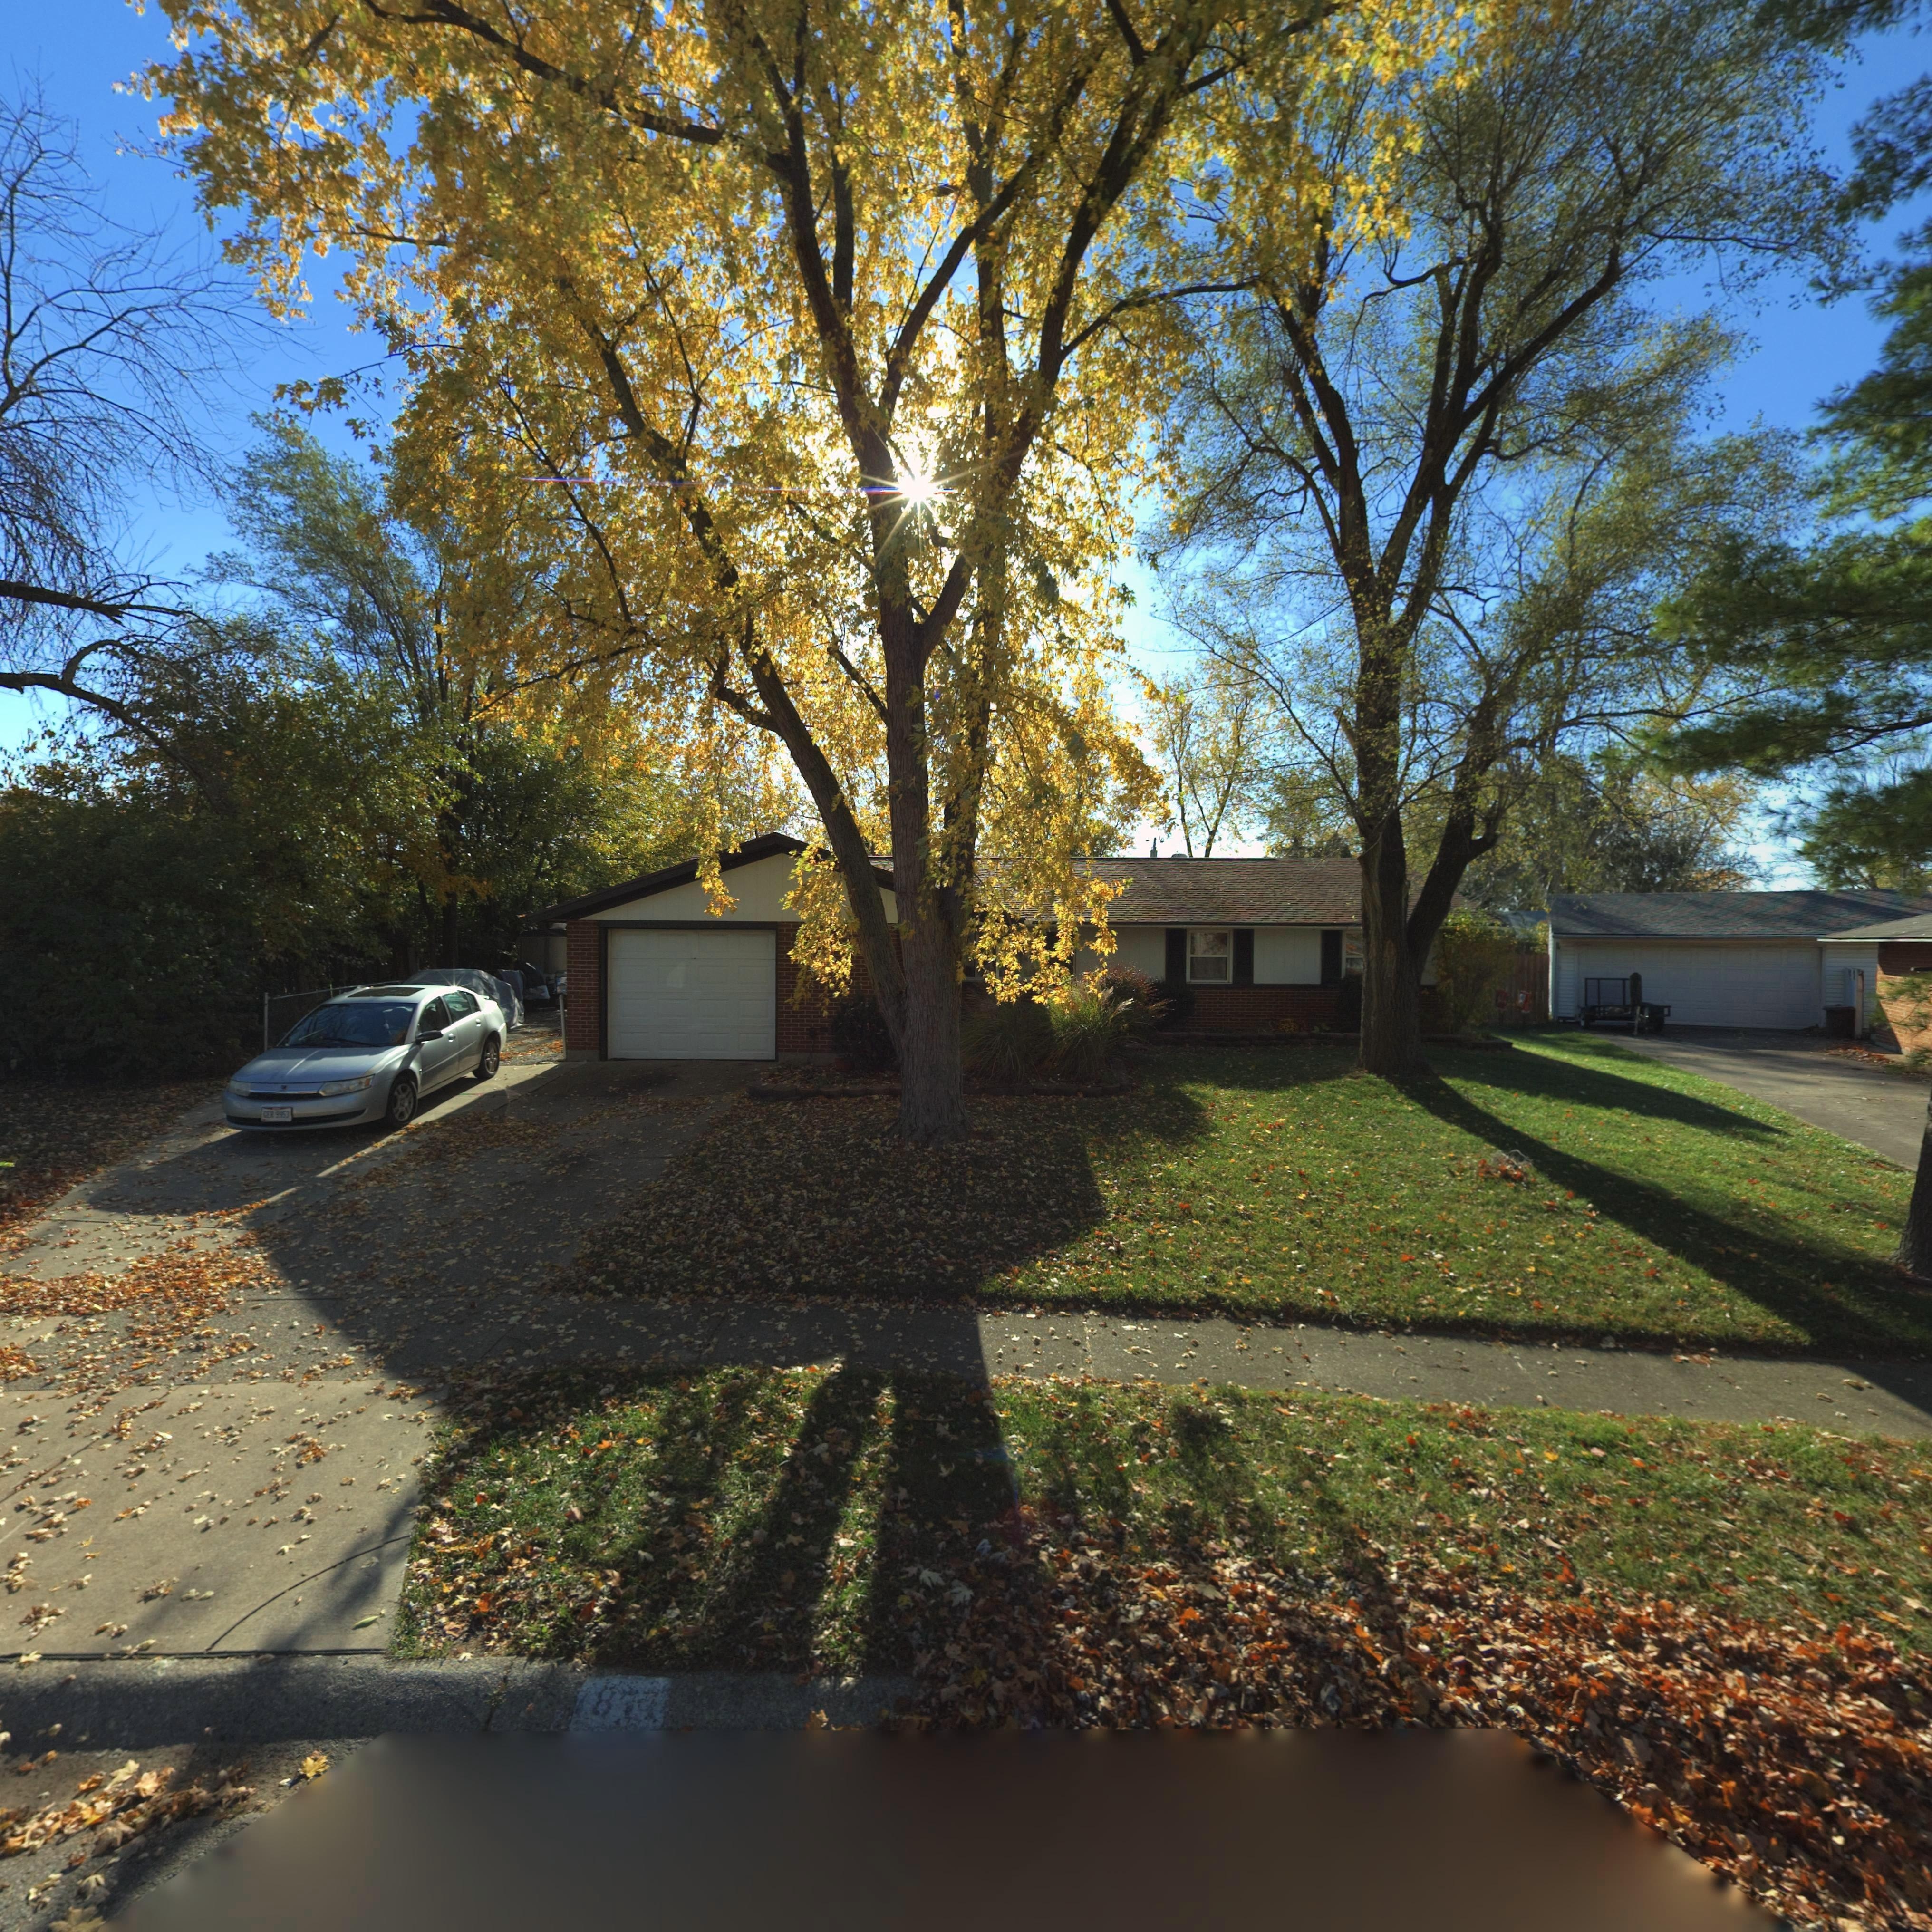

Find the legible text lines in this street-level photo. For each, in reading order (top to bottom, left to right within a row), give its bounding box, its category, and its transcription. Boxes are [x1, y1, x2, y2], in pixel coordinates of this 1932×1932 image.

[571, 1686, 663, 1724] StreetNumber: 787*